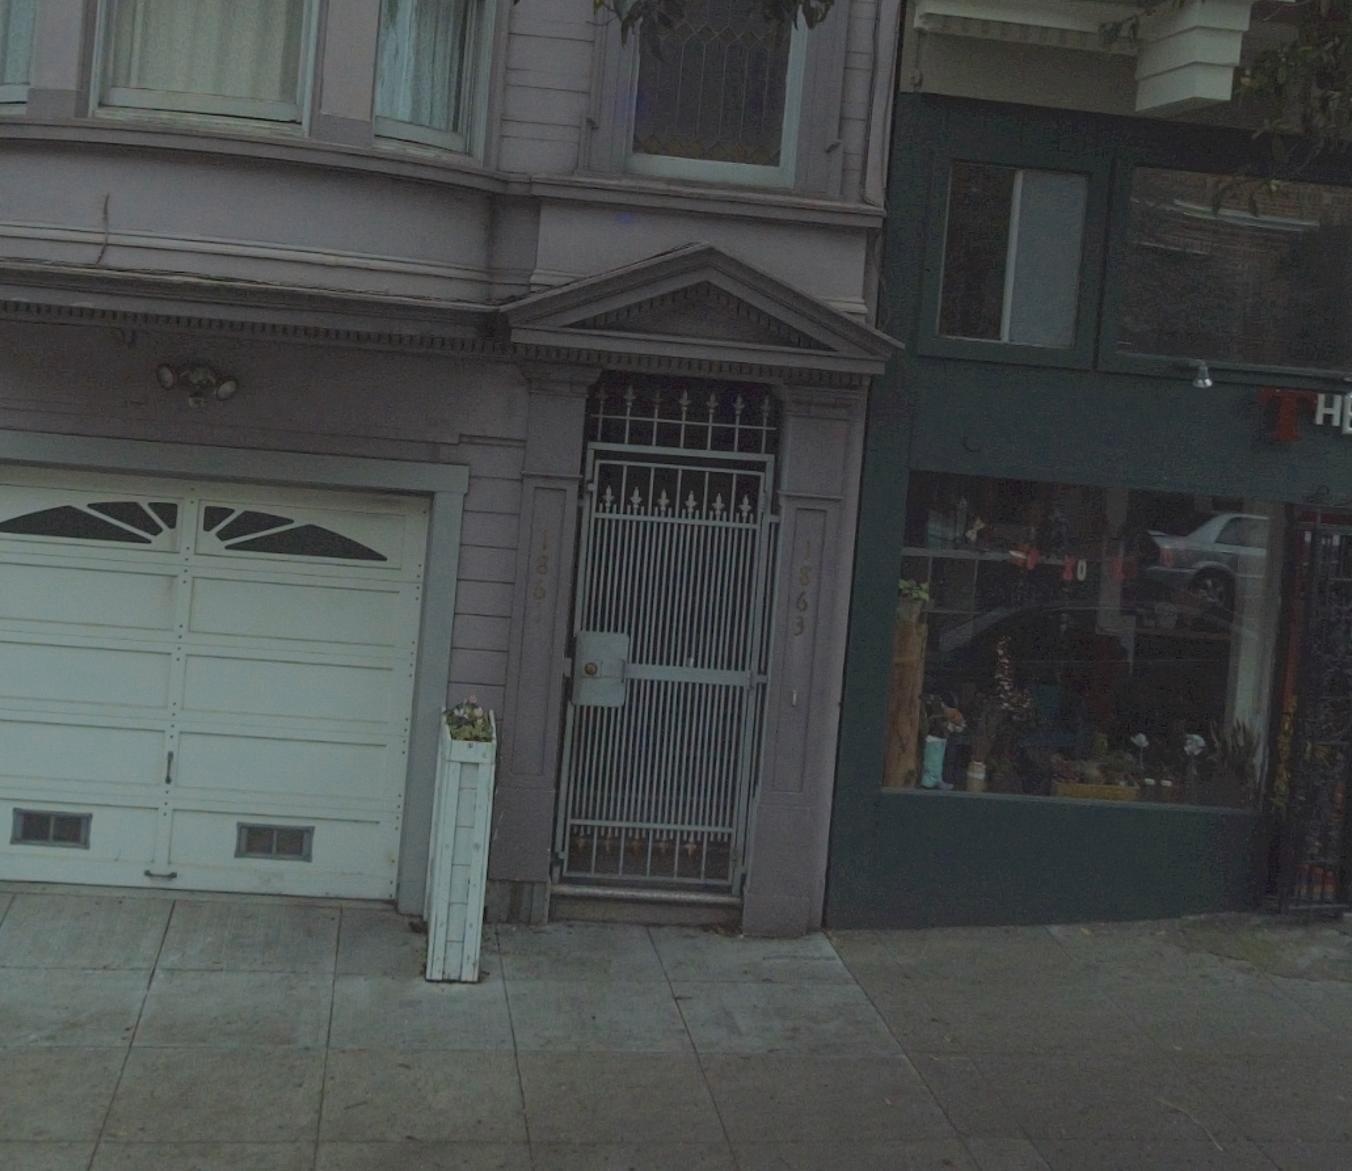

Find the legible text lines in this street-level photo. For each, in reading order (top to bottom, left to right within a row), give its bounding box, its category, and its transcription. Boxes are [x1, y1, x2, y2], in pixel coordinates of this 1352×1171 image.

[1253, 386, 1344, 446] None: TH
[528, 525, 555, 630] StreetNumber: 1861
[789, 535, 816, 642] StreetNumber: 1863